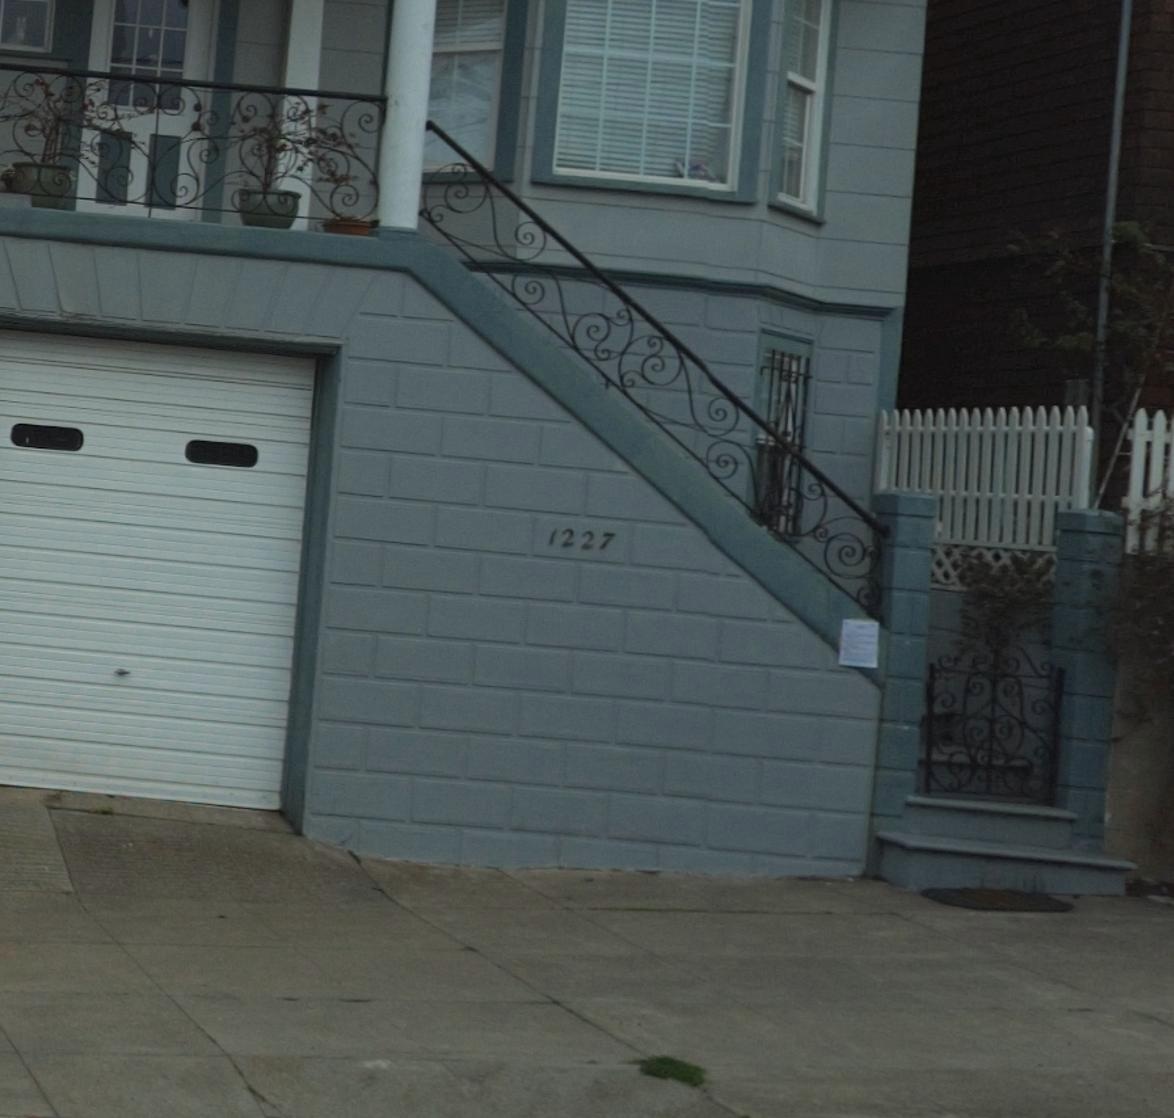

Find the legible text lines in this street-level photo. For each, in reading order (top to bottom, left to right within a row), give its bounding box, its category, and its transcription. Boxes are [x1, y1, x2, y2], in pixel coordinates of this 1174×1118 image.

[547, 527, 618, 551] StreetNumber: 1227